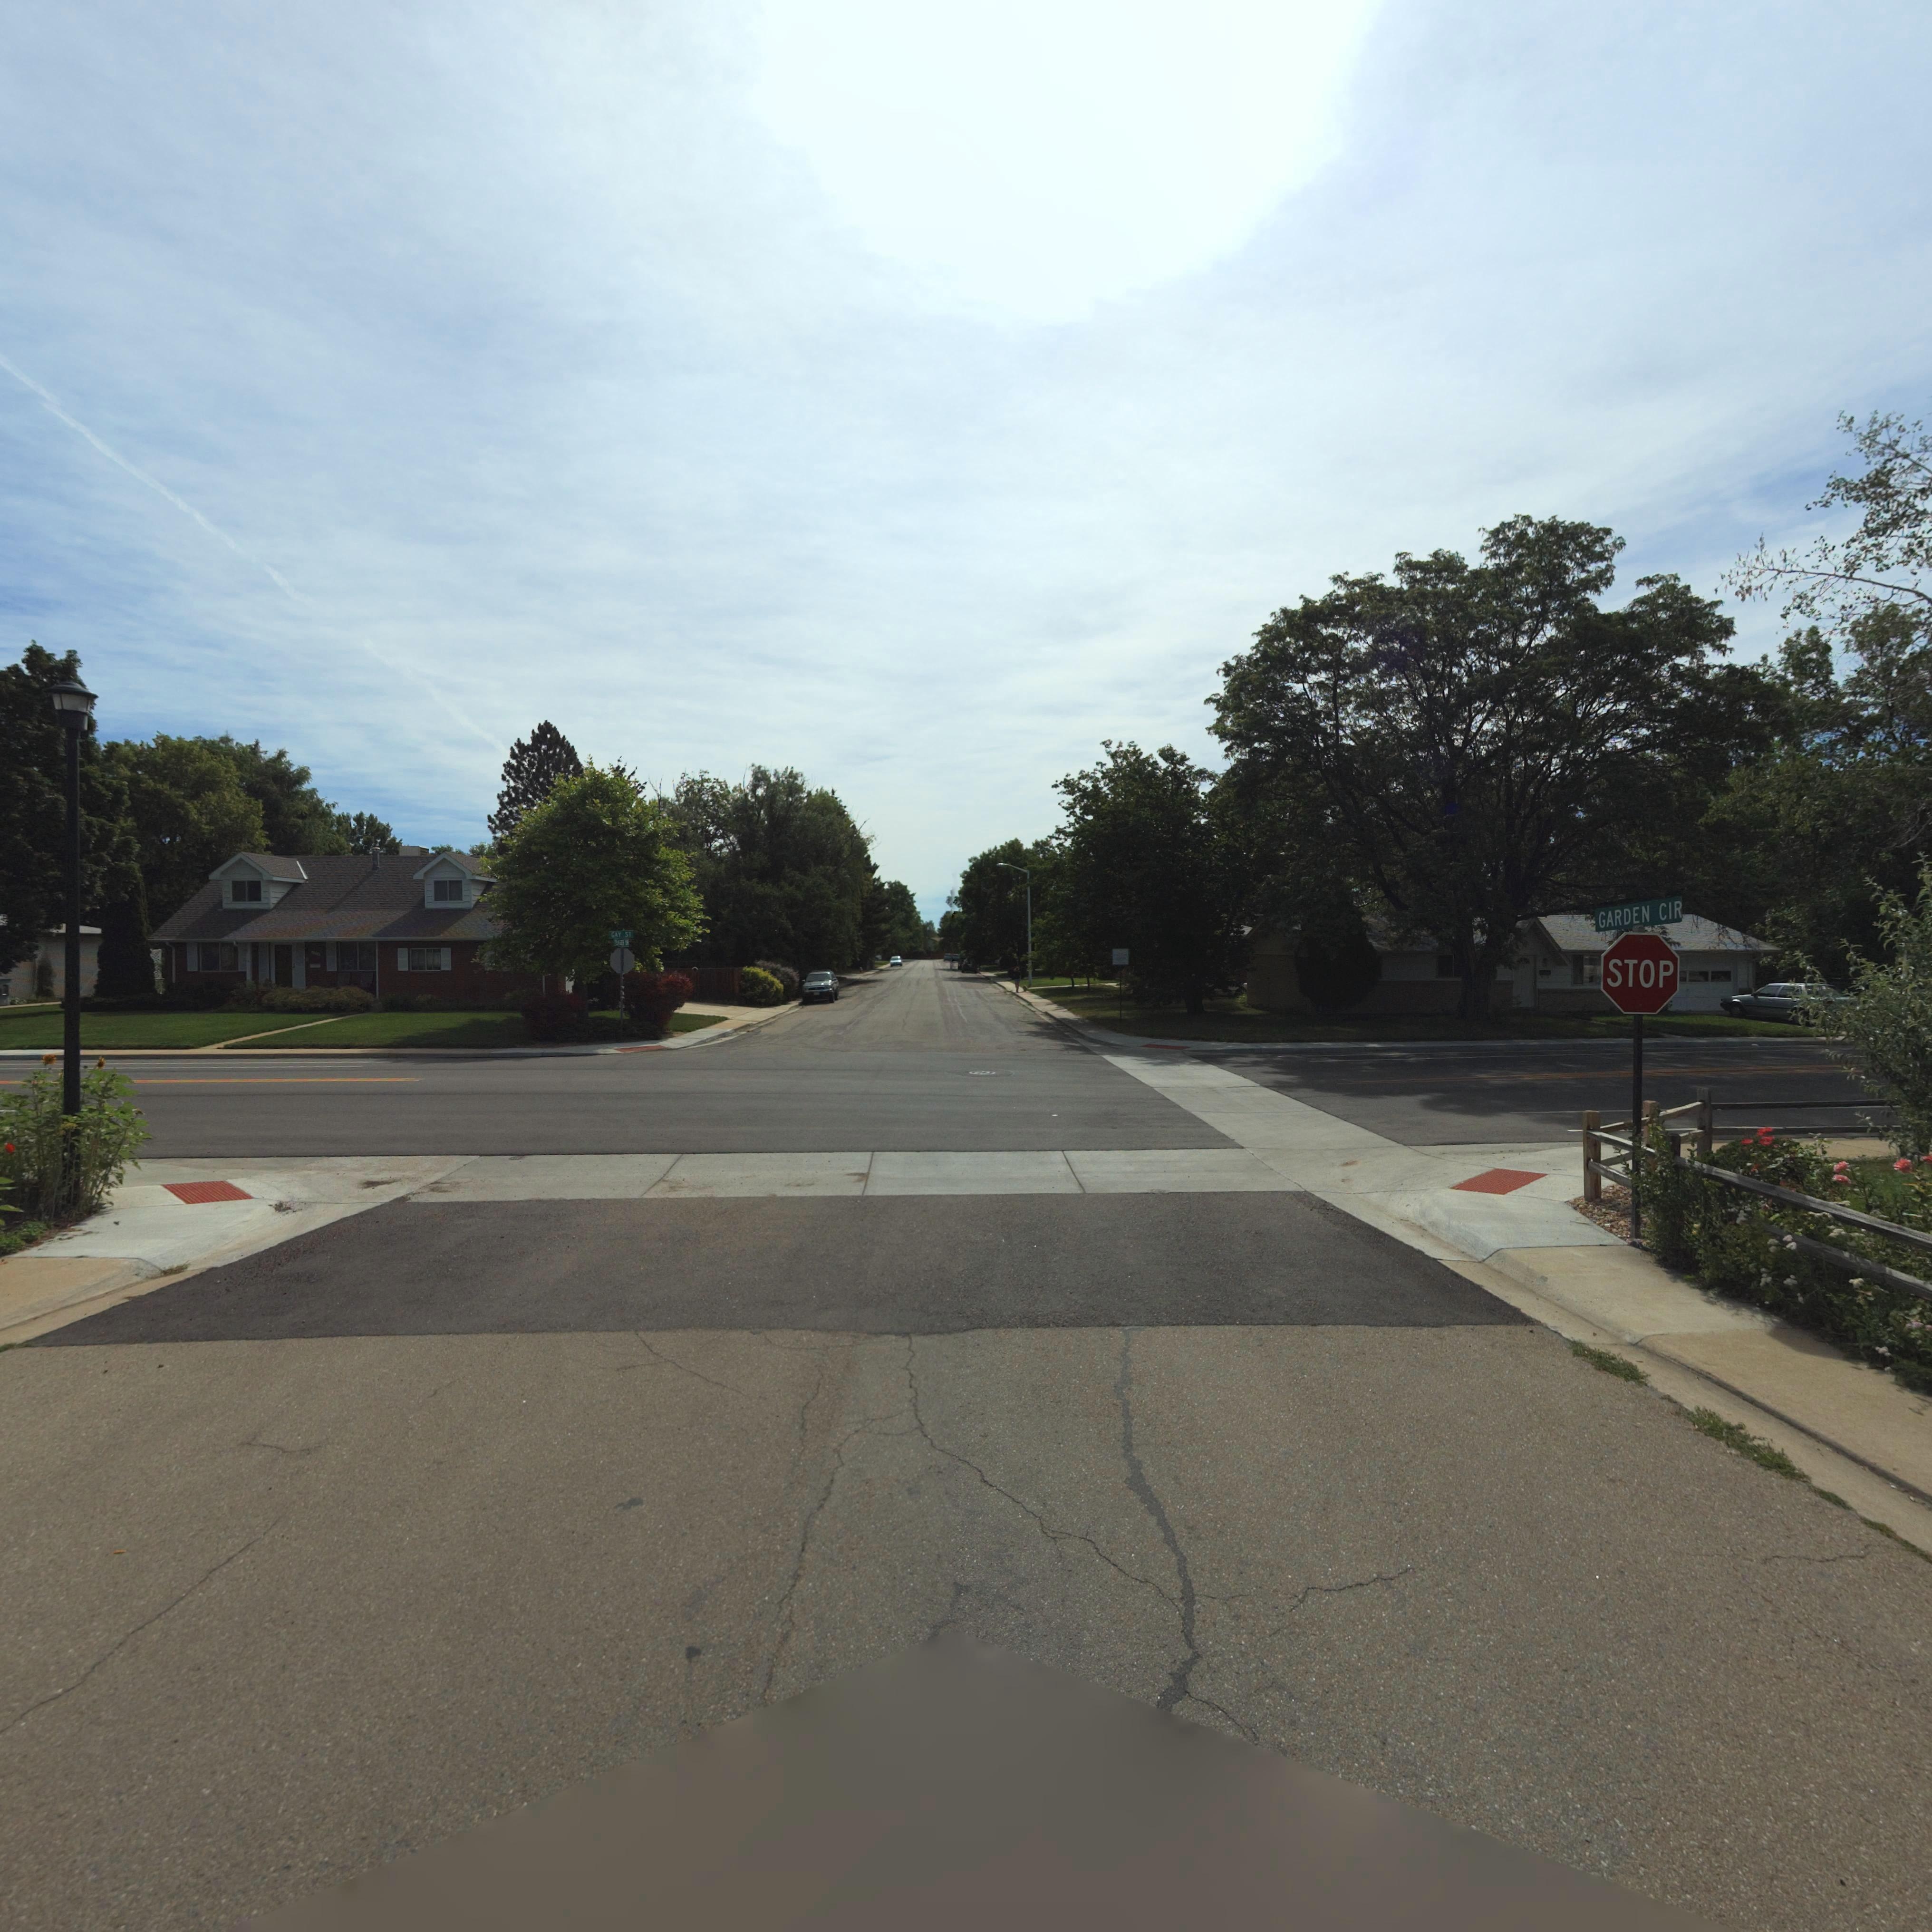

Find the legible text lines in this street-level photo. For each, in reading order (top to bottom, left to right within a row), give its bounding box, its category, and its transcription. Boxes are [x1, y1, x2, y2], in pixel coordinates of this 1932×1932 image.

[1598, 900, 1682, 928] StreetName: GARDEN CIR
[610, 931, 632, 937] StreetName: GAY ST